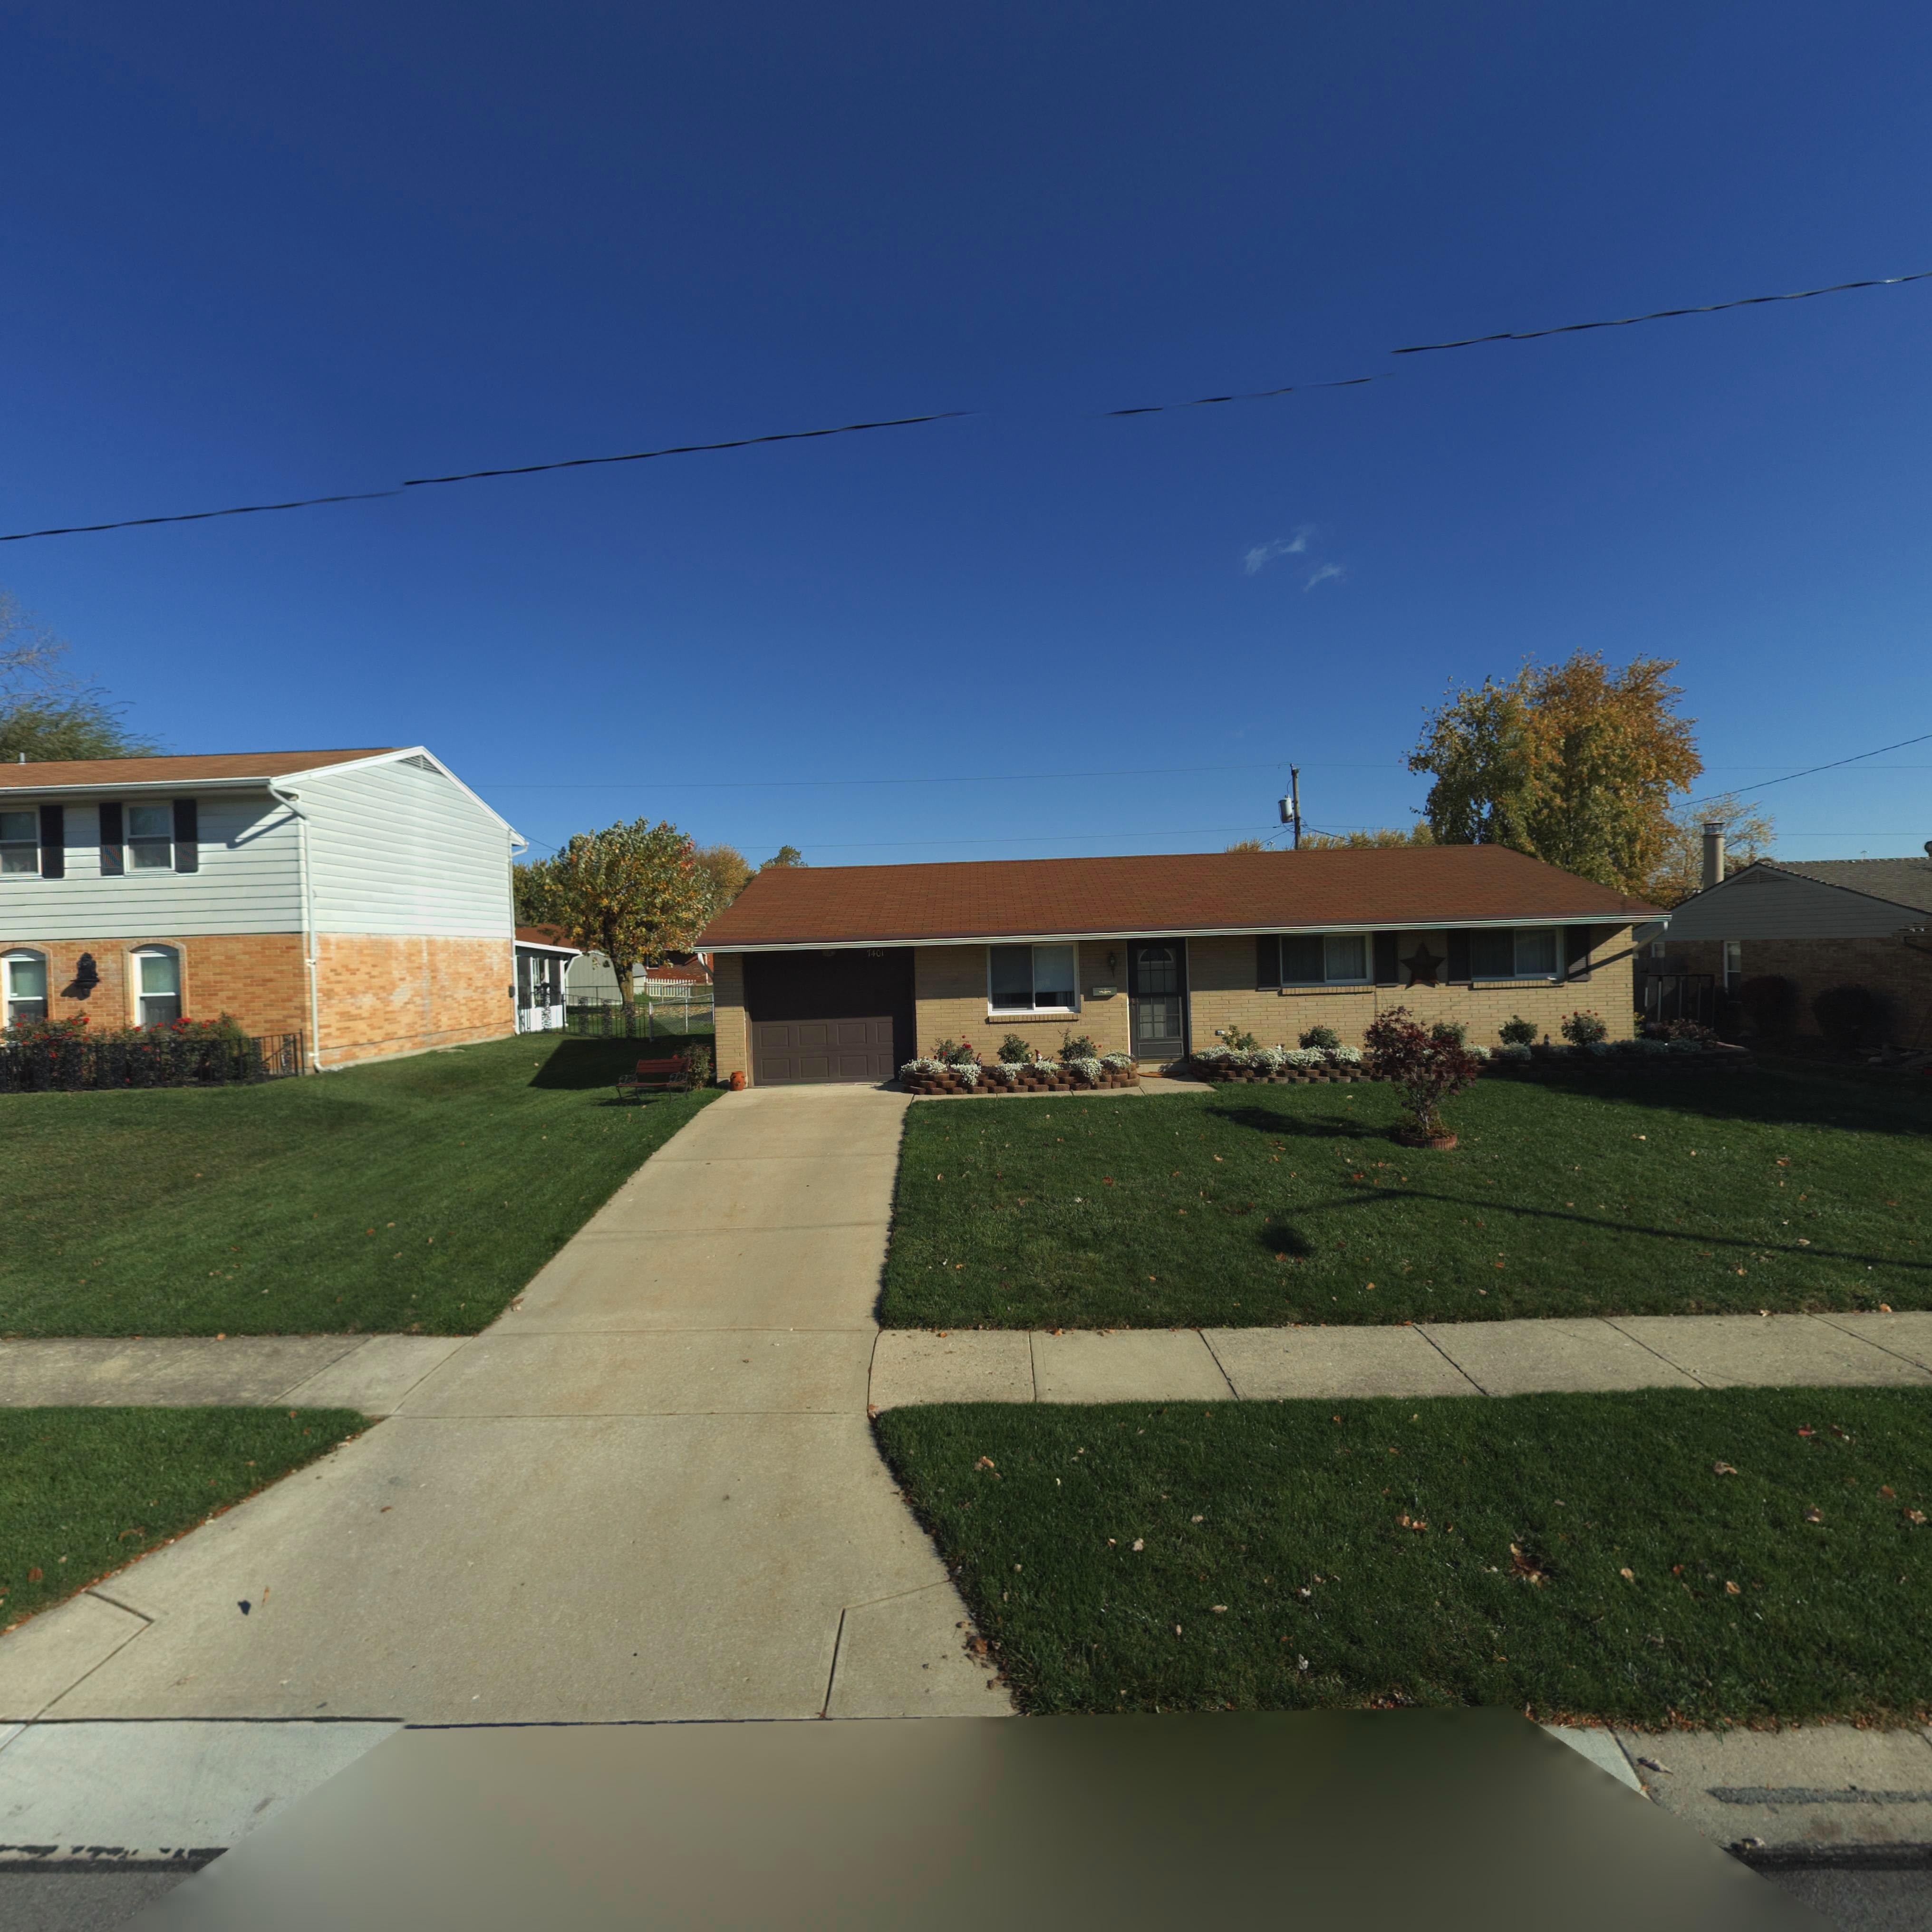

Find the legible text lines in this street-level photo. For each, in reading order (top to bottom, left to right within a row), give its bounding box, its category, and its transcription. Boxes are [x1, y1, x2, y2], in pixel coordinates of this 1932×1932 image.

[866, 948, 885, 958] StreetNumber: 7401